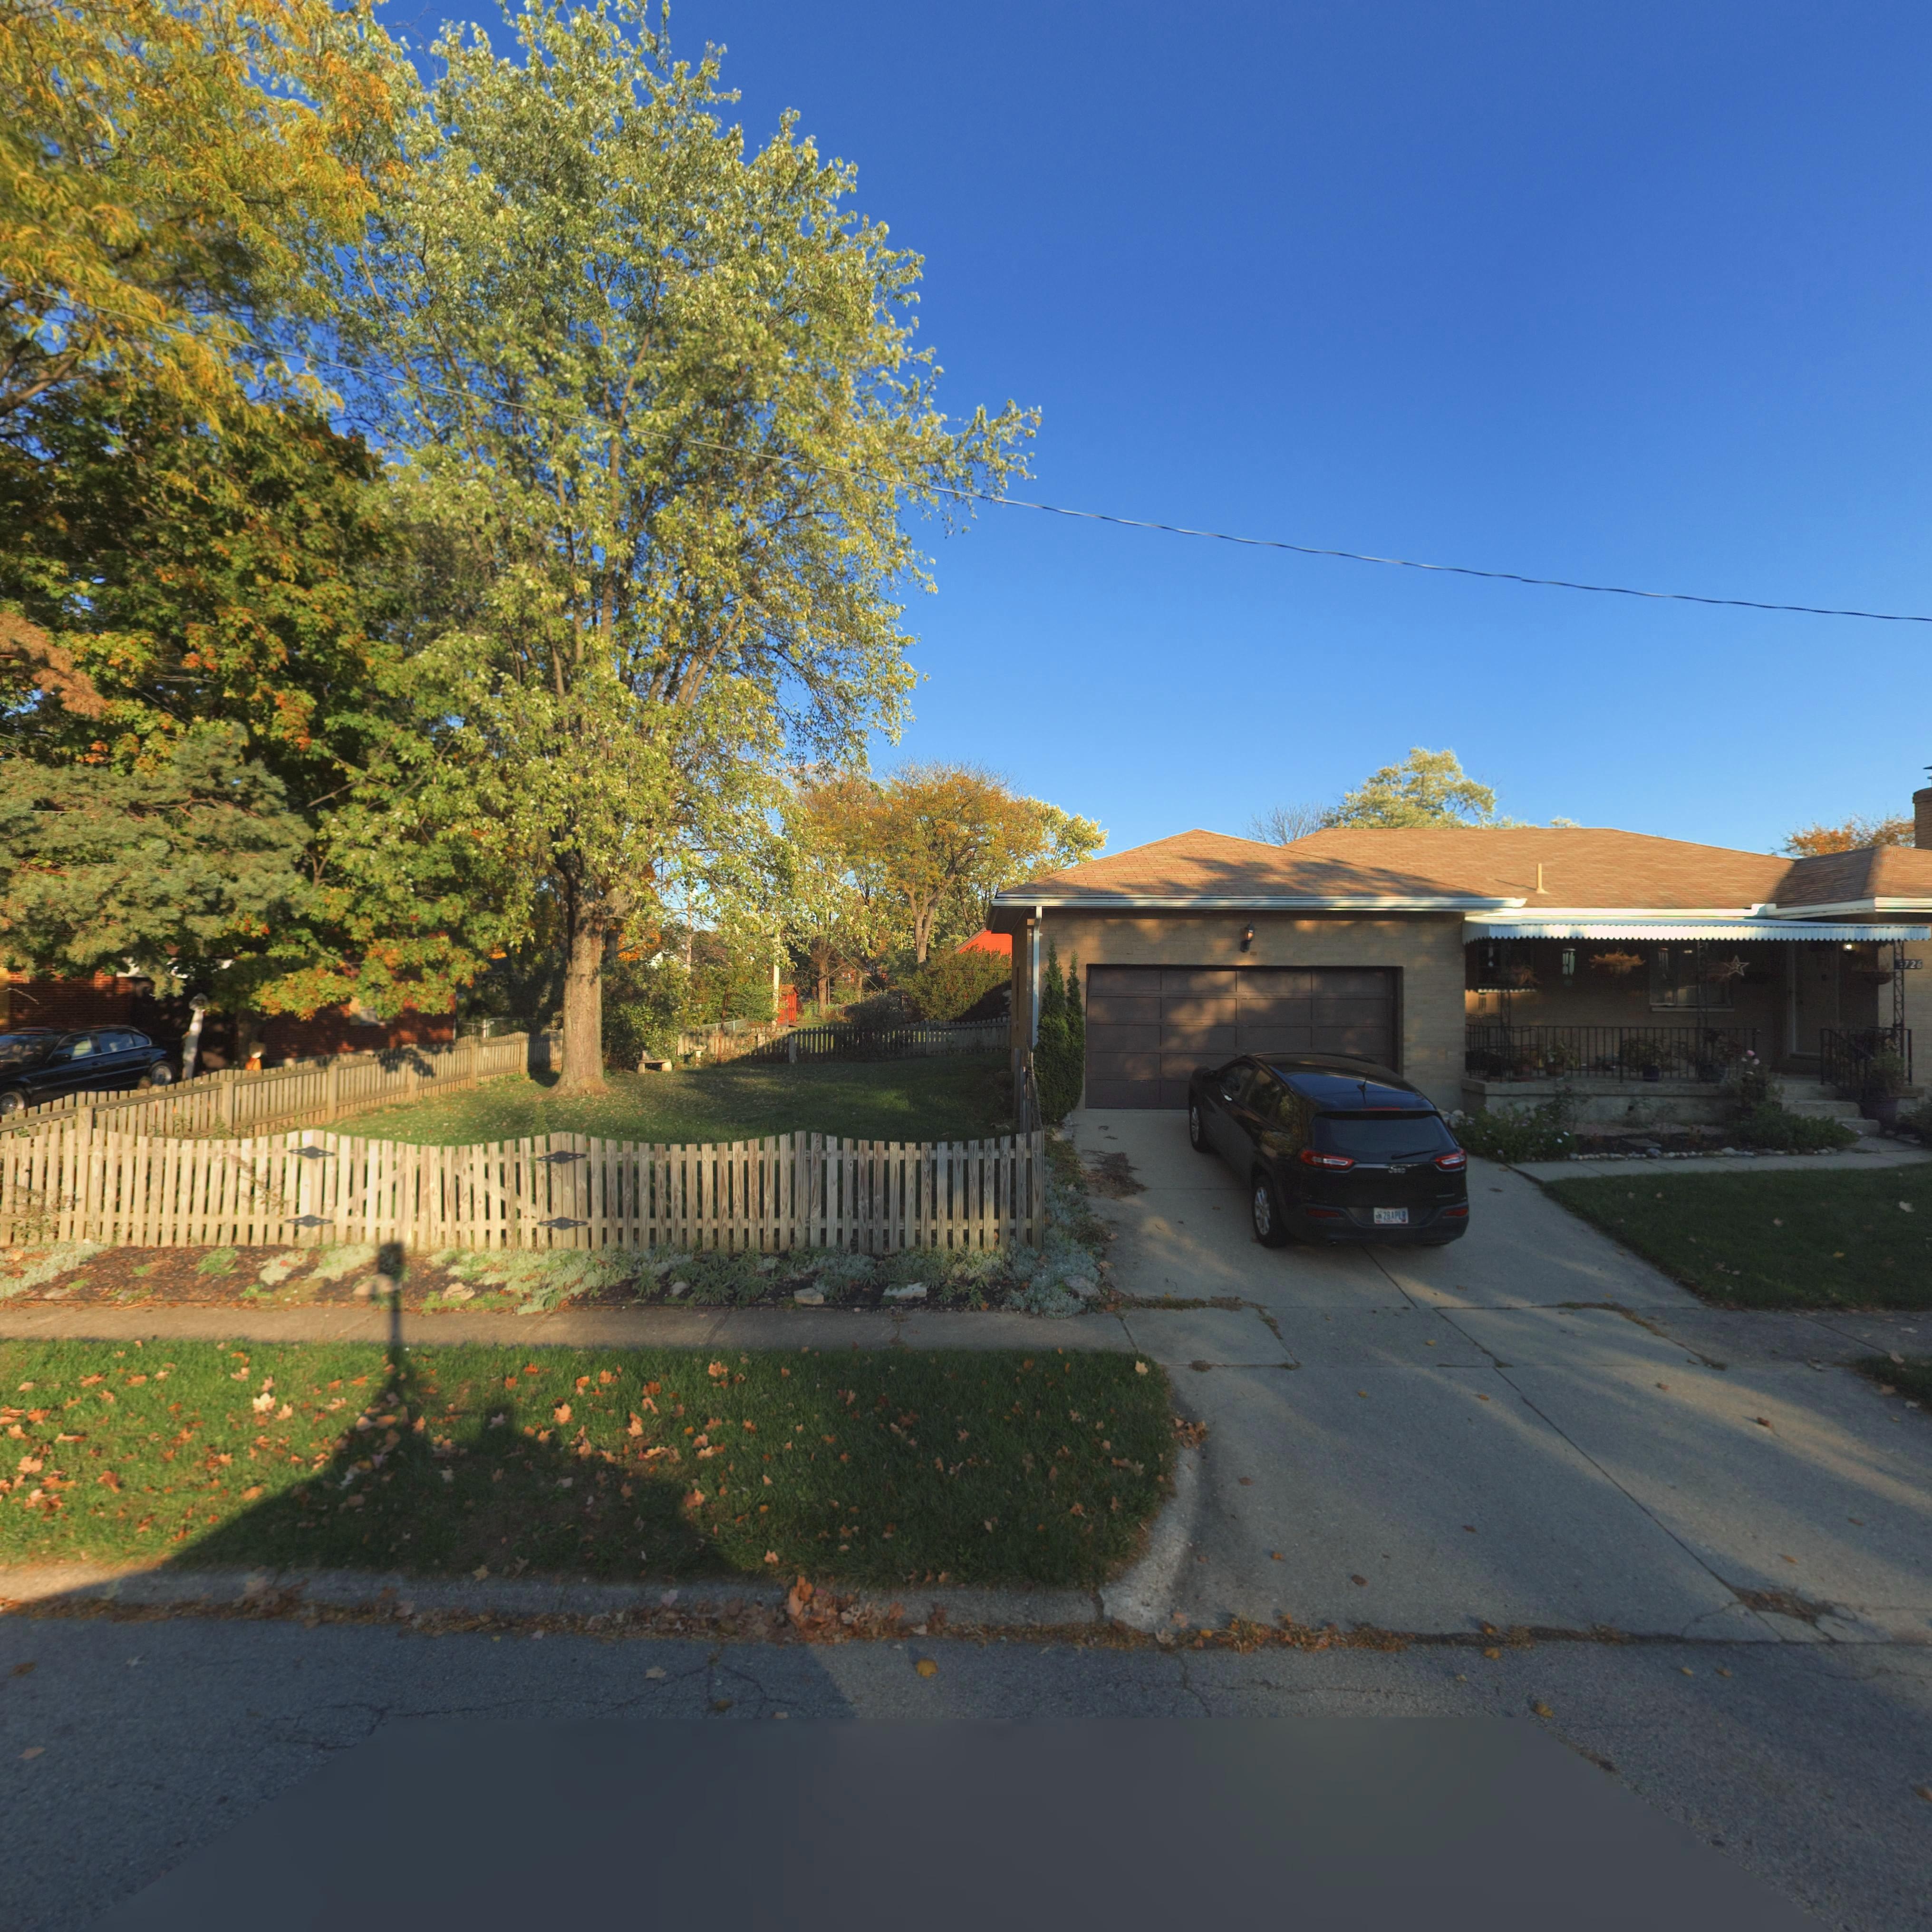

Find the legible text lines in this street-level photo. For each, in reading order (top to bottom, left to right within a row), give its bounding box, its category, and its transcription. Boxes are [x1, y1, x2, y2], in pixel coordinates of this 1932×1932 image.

[1898, 960, 1923, 969] StreetNumber: *726